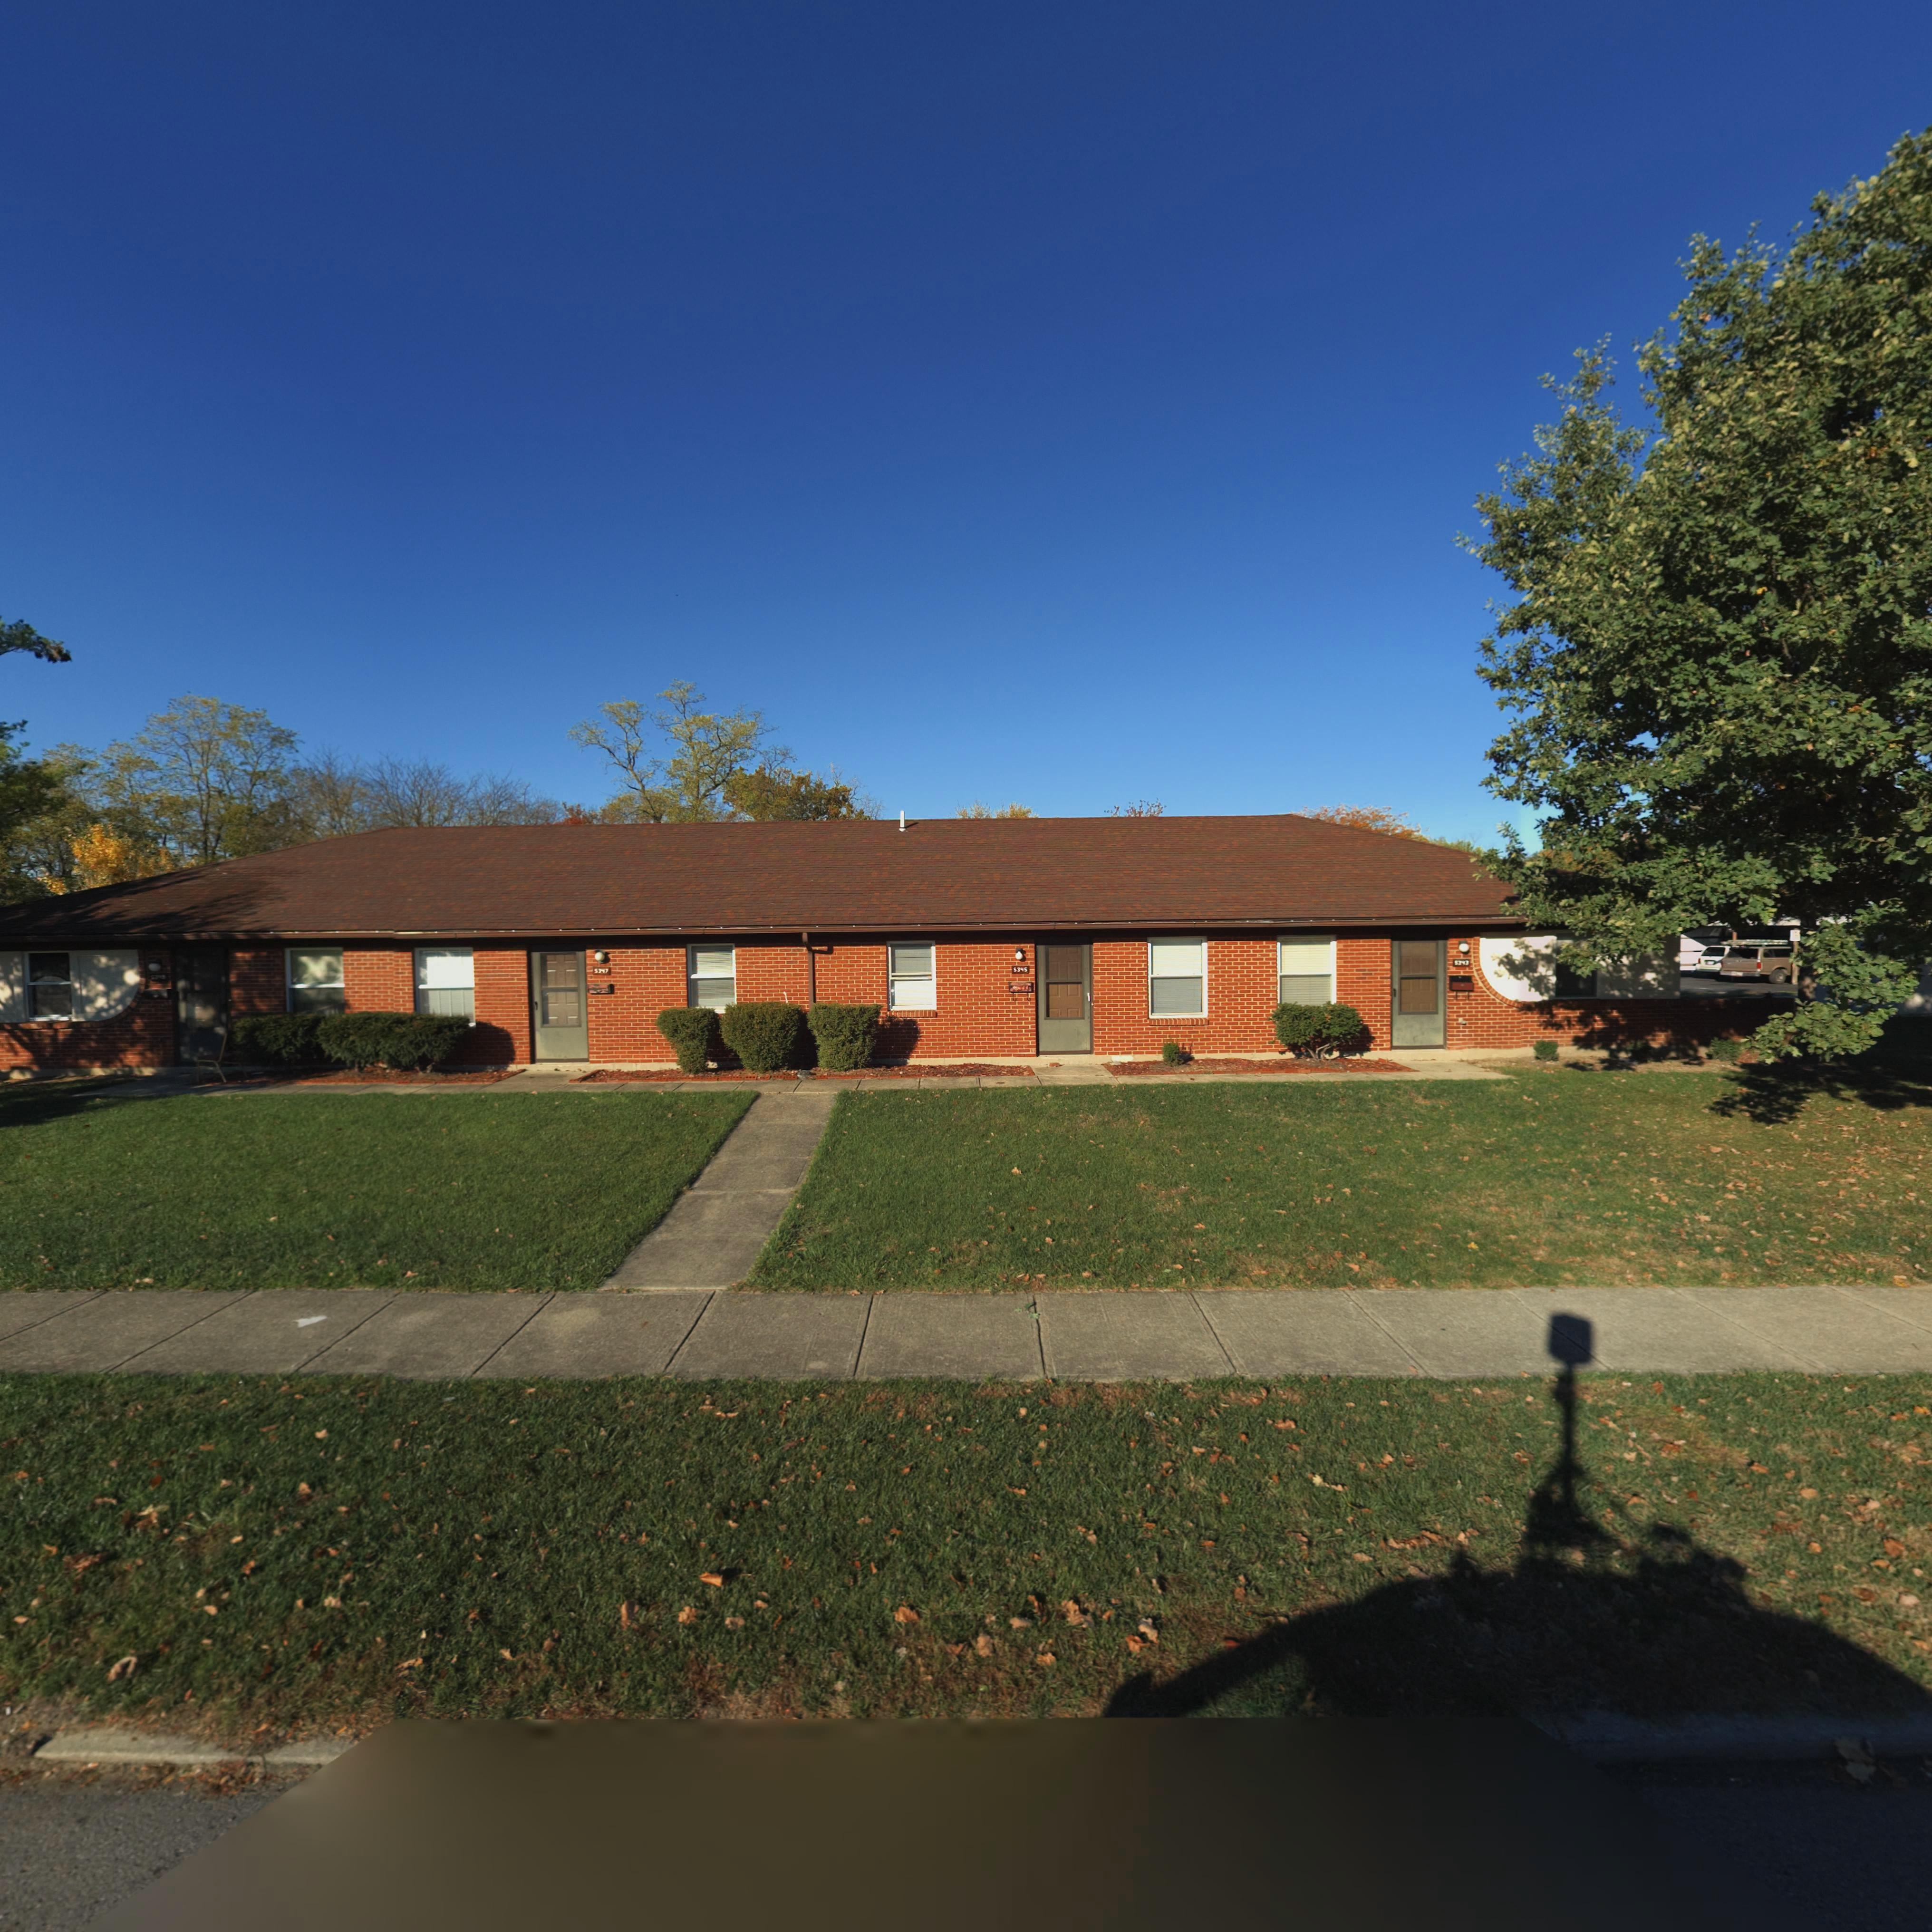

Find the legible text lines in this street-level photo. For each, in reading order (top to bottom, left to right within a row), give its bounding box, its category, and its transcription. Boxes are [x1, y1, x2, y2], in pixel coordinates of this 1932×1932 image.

[1454, 960, 1469, 966] StreetNumber: 5343
[594, 968, 609, 974] StreetNumber: 5347
[1013, 966, 1028, 973] StreetNumber: 5345
[150, 974, 165, 980] StreetNumber: 5349